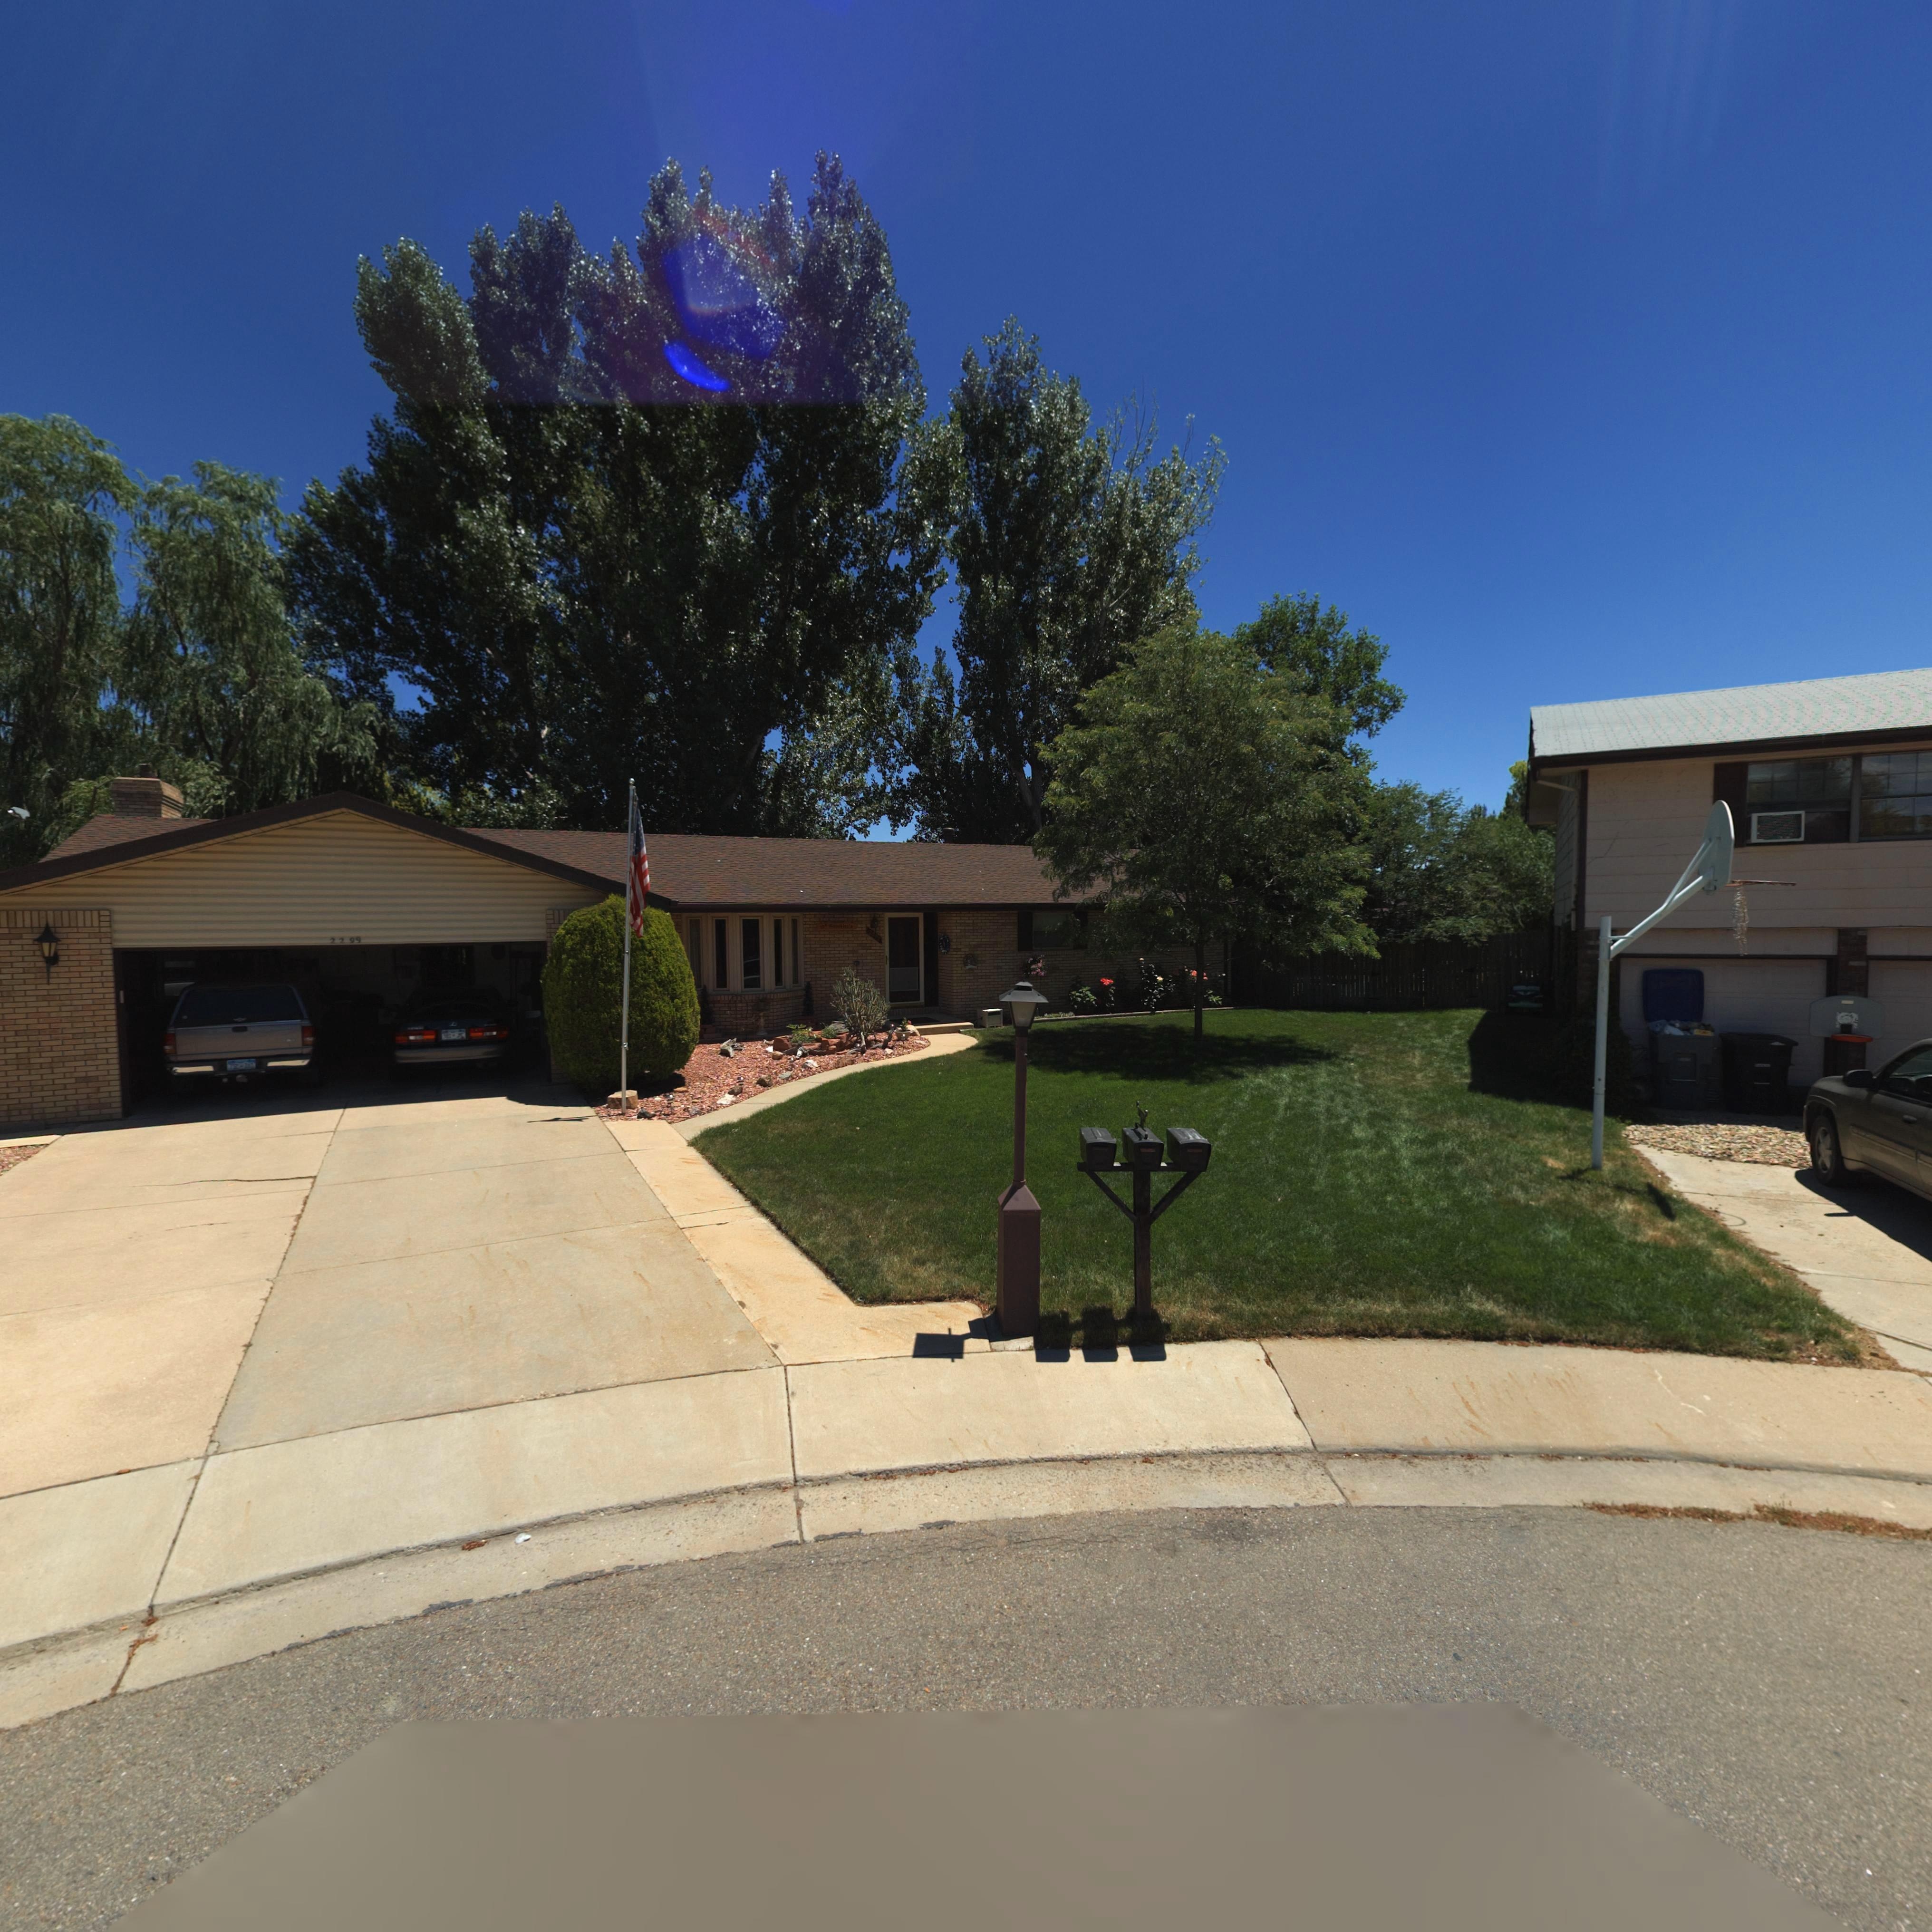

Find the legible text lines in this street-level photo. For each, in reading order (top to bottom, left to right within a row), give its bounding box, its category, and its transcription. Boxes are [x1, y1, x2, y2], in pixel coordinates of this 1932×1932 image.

[329, 936, 361, 944] StreetNumber: 2299